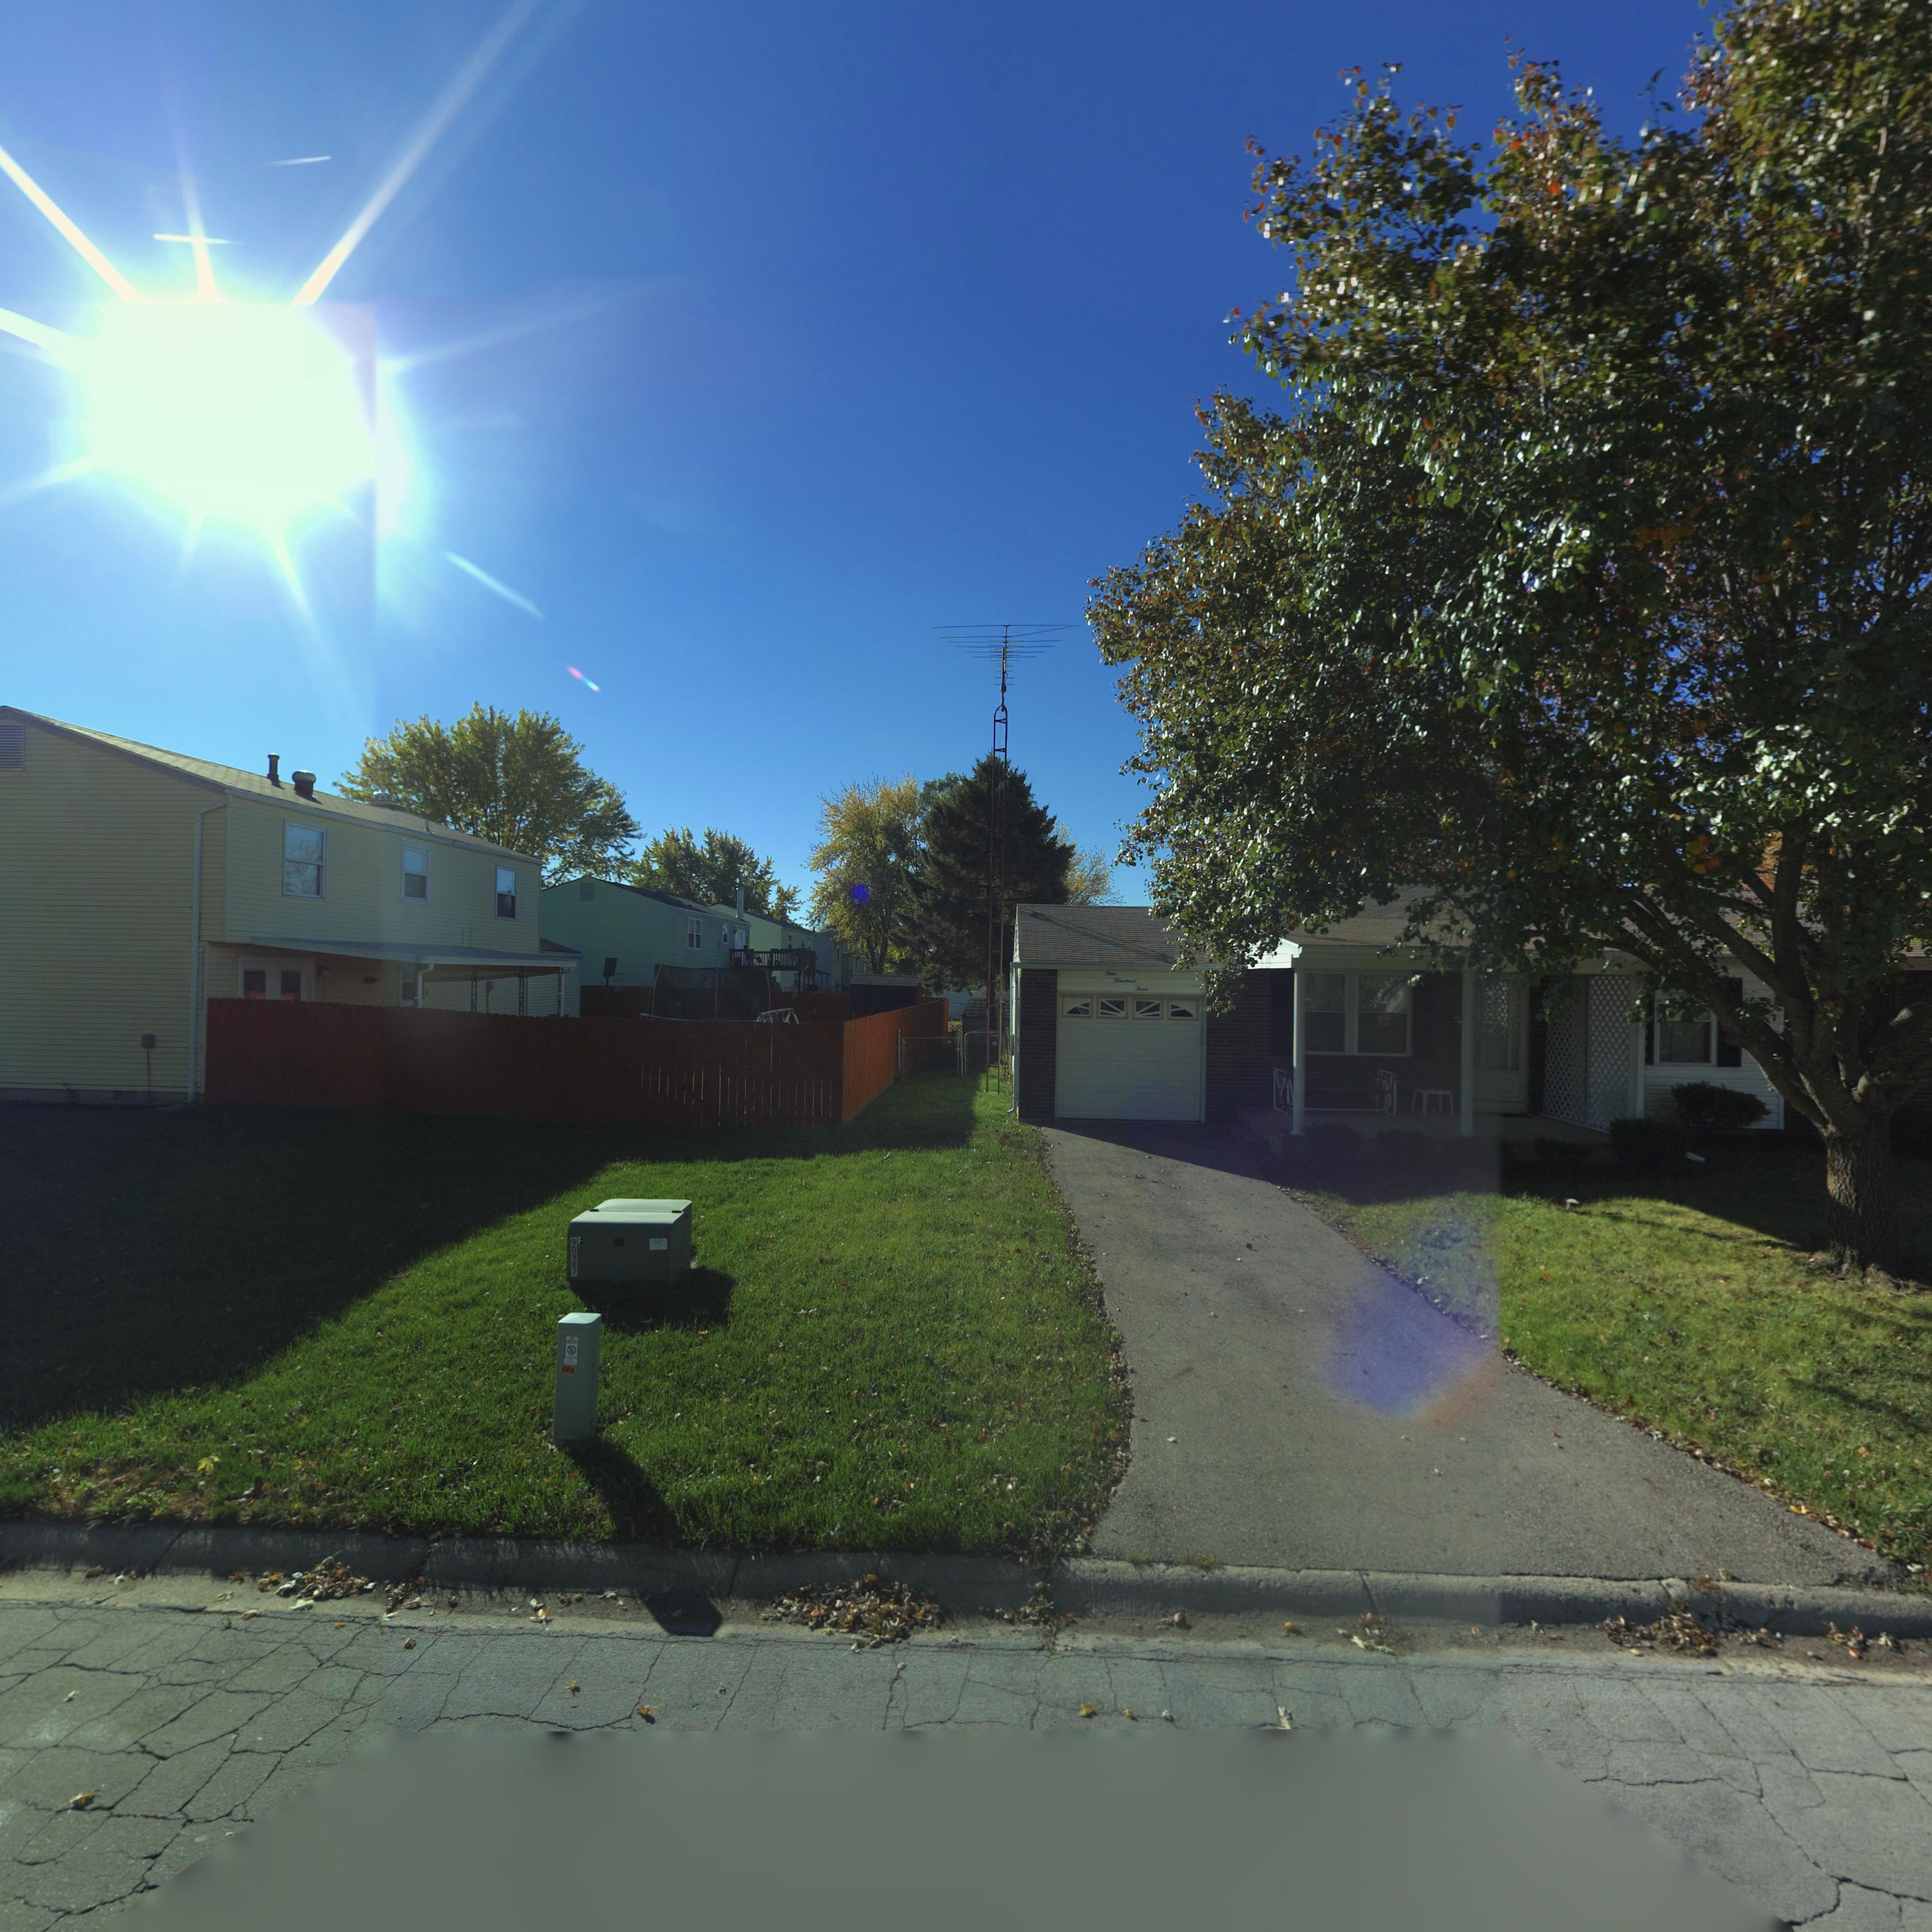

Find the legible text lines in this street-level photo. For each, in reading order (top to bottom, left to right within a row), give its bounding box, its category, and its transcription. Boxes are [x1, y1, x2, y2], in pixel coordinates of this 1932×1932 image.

[1105, 970, 1117, 976] StreetNumber: One
[1112, 977, 1138, 984] StreetNumber: Hundred
[1134, 985, 1149, 991] StreetNumber: Three